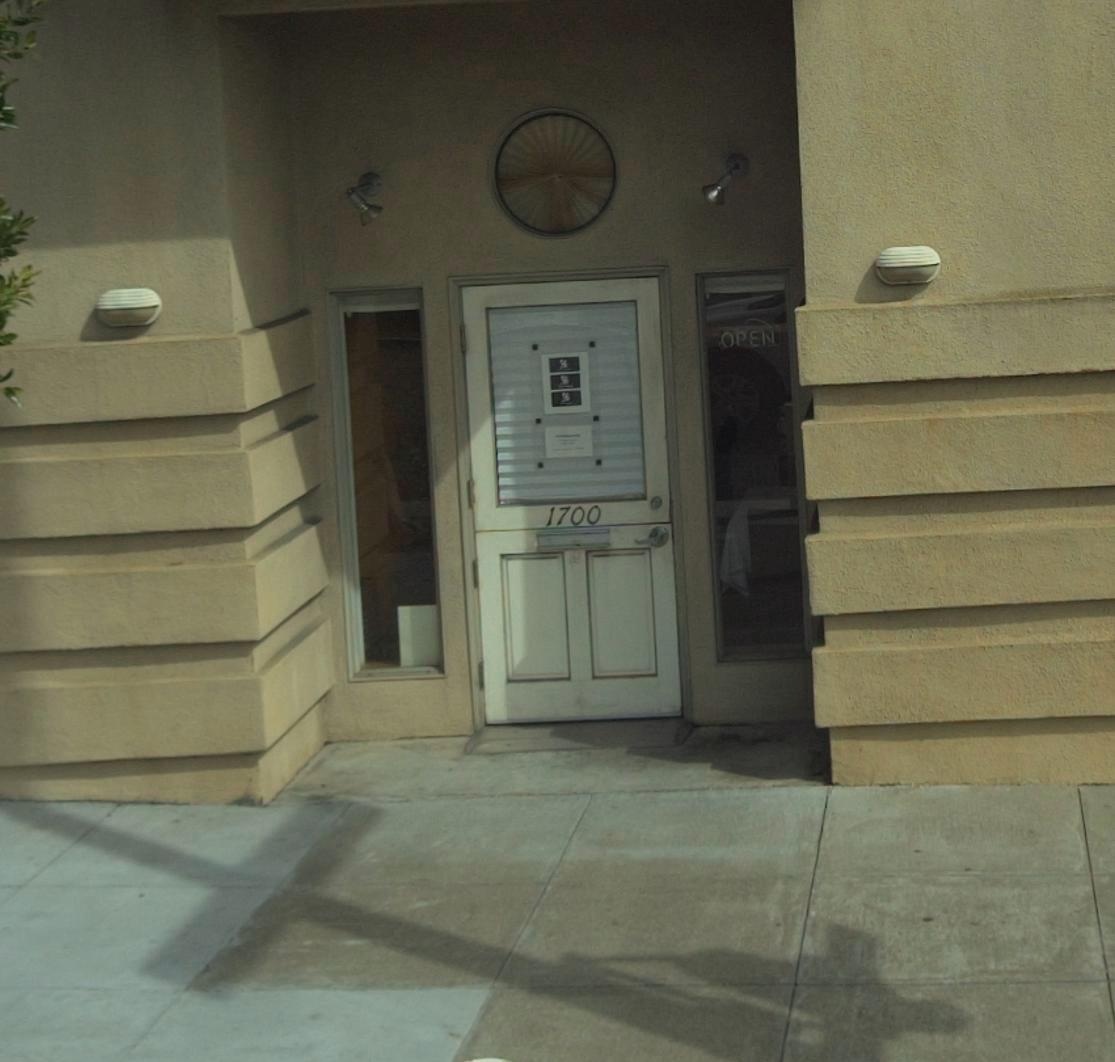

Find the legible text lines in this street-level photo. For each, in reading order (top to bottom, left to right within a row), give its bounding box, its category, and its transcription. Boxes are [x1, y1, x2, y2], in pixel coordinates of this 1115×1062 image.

[717, 327, 778, 351] None: OPEN
[543, 503, 605, 530] StreetNumber: 1700